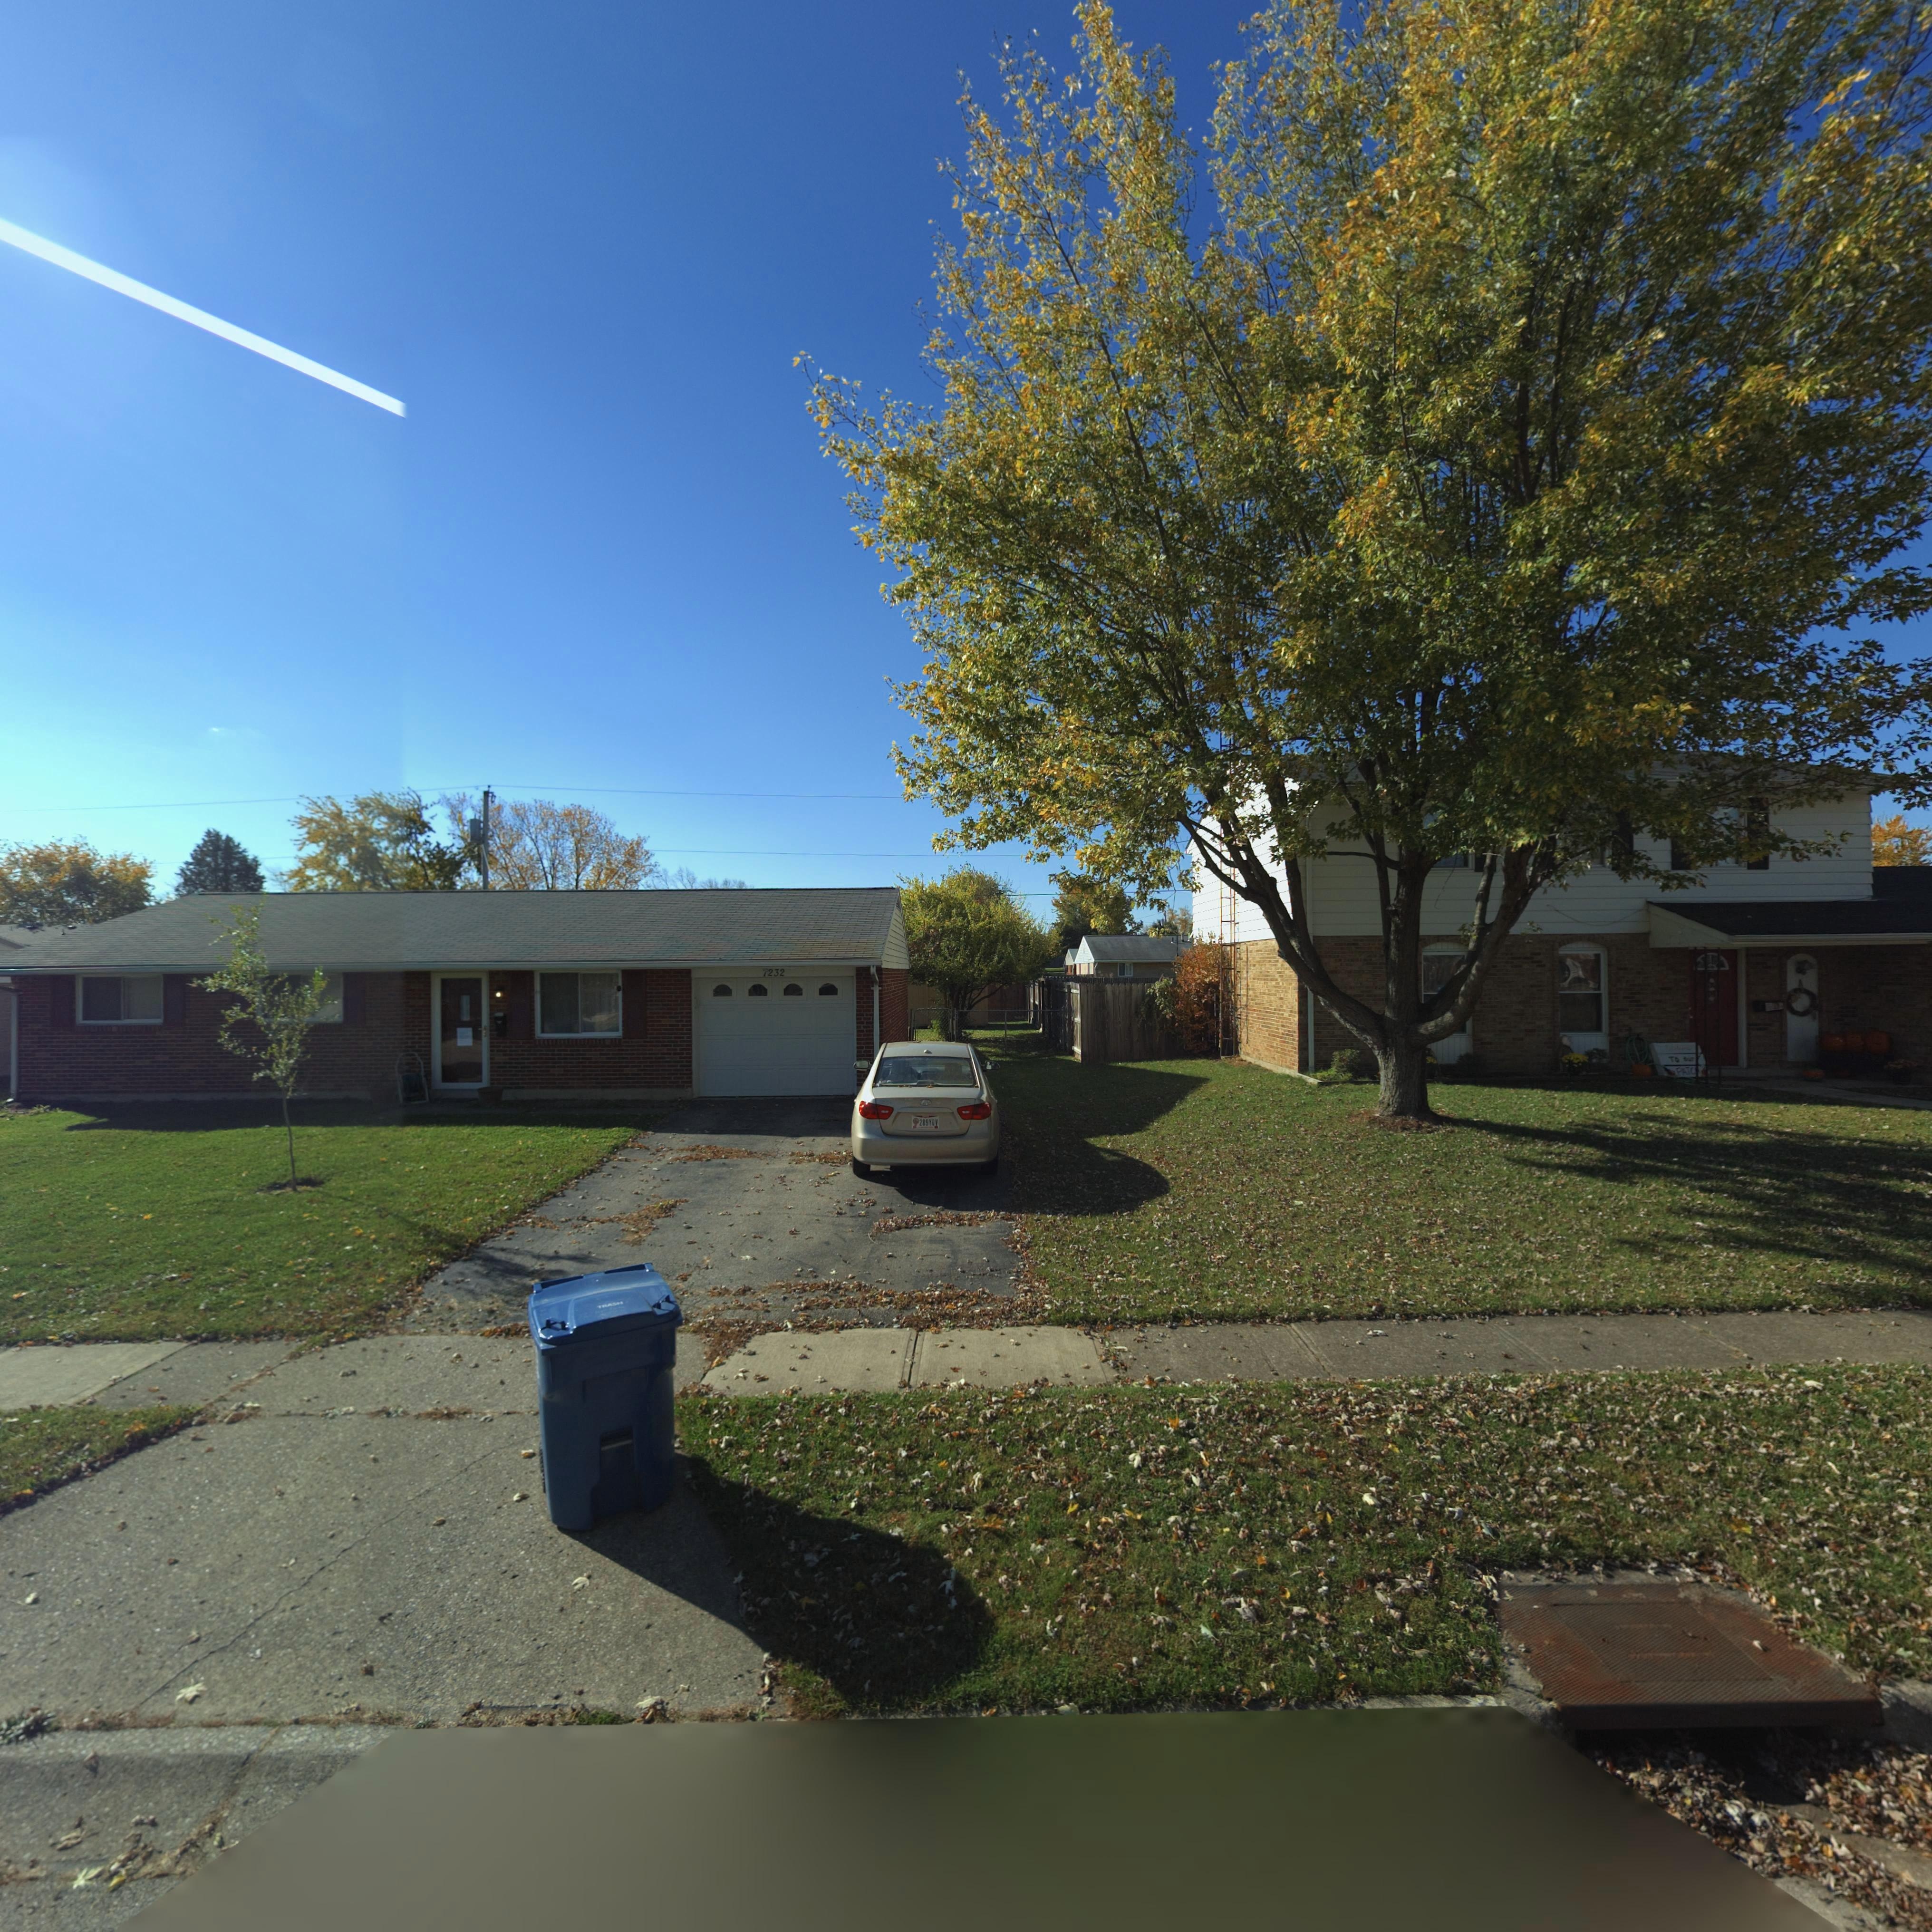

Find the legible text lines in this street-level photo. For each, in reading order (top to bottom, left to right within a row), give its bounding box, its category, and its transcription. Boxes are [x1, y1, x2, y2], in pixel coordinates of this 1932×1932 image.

[761, 967, 786, 978] StreetNumber: *232